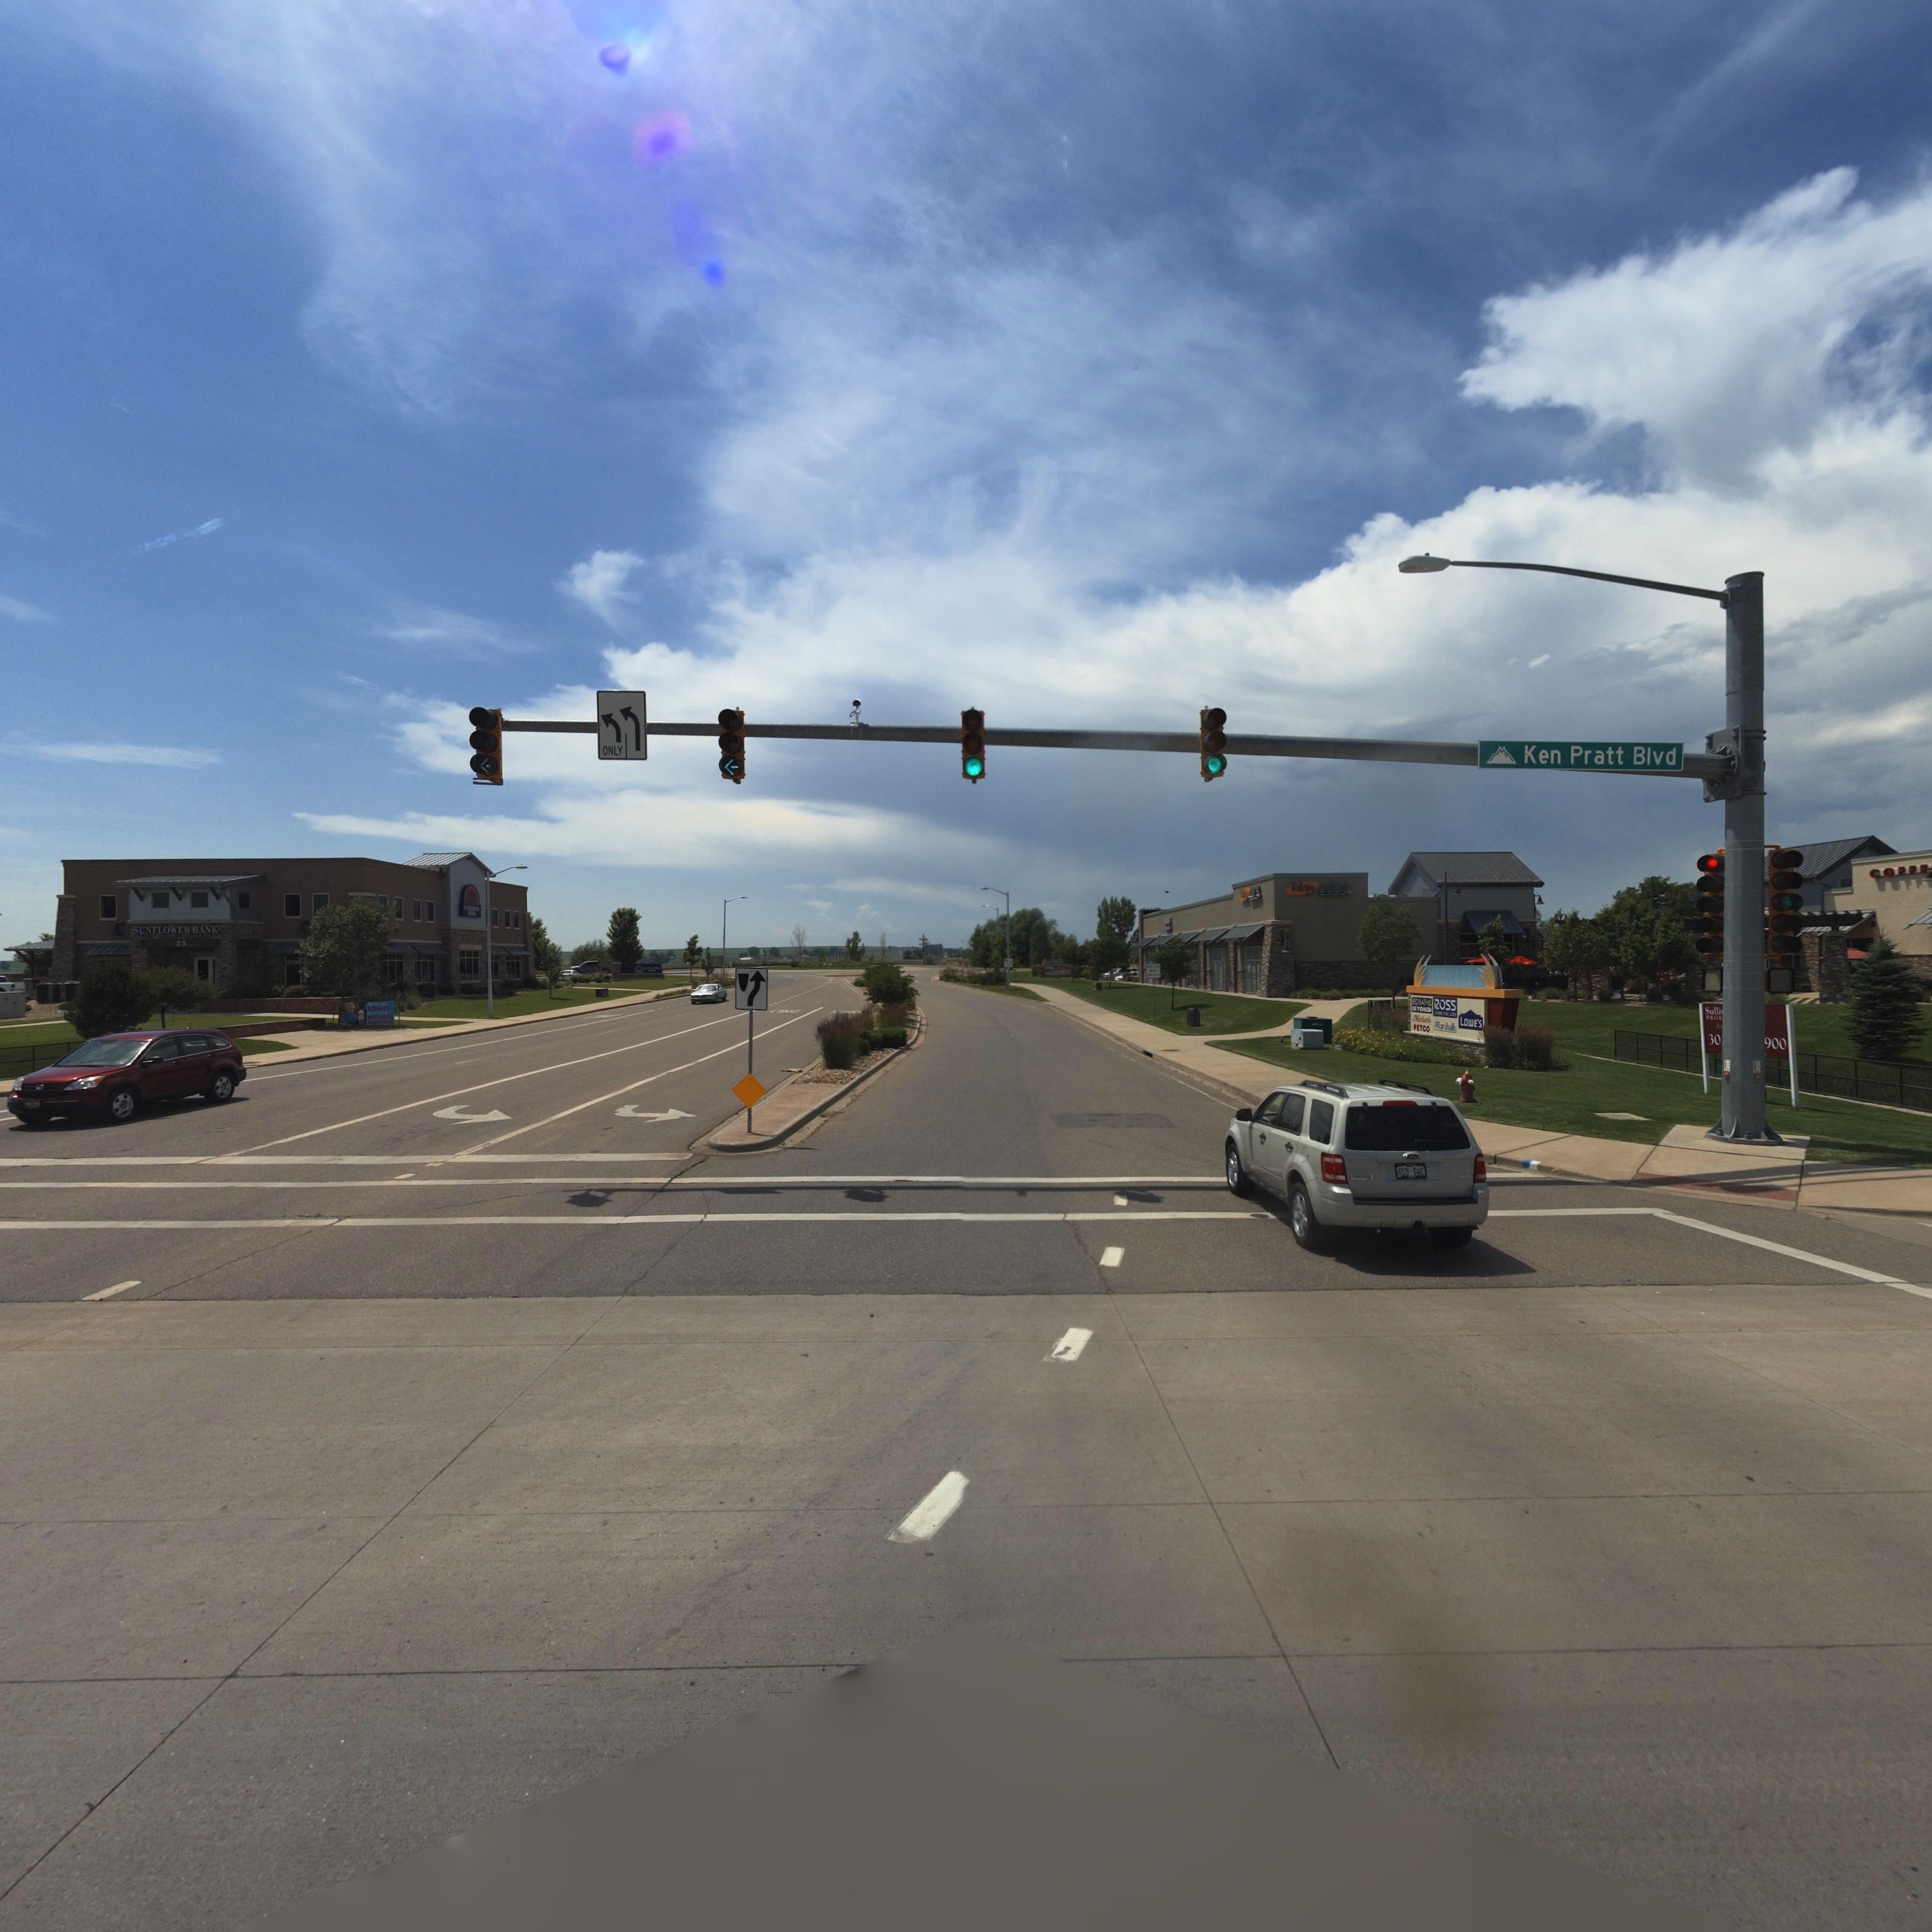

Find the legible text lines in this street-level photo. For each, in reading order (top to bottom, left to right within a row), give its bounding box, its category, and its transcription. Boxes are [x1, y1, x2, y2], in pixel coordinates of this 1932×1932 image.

[1524, 745, 1676, 765] BusinessName: Ken Pratt Blvd
[1239, 889, 1248, 900] BusinessName: T*k**
[1248, 885, 1259, 898] BusinessName: J*E'S
[1289, 879, 1315, 896] BusinessName: Tokyo
[1318, 880, 1350, 894] BusinessName: JOE'S
[133, 925, 218, 934] BusinessName: SUNFLOWER BANK
[176, 940, 186, 947] StreetNumber: 25
[1411, 997, 1431, 1006] BusinessName: BEDBATH*
[1411, 1005, 1431, 1013] BusinessName: BEYOND
[1434, 998, 1456, 1011] BusinessName: ROSS
[1413, 1023, 1430, 1033] BusinessName: PETCO
[1412, 1014, 1431, 1024] BusinessName: Michaels
[1433, 1020, 1457, 1032] BusinessName: Marshalls
[1459, 1015, 1482, 1028] BusinessName: LOWE'S